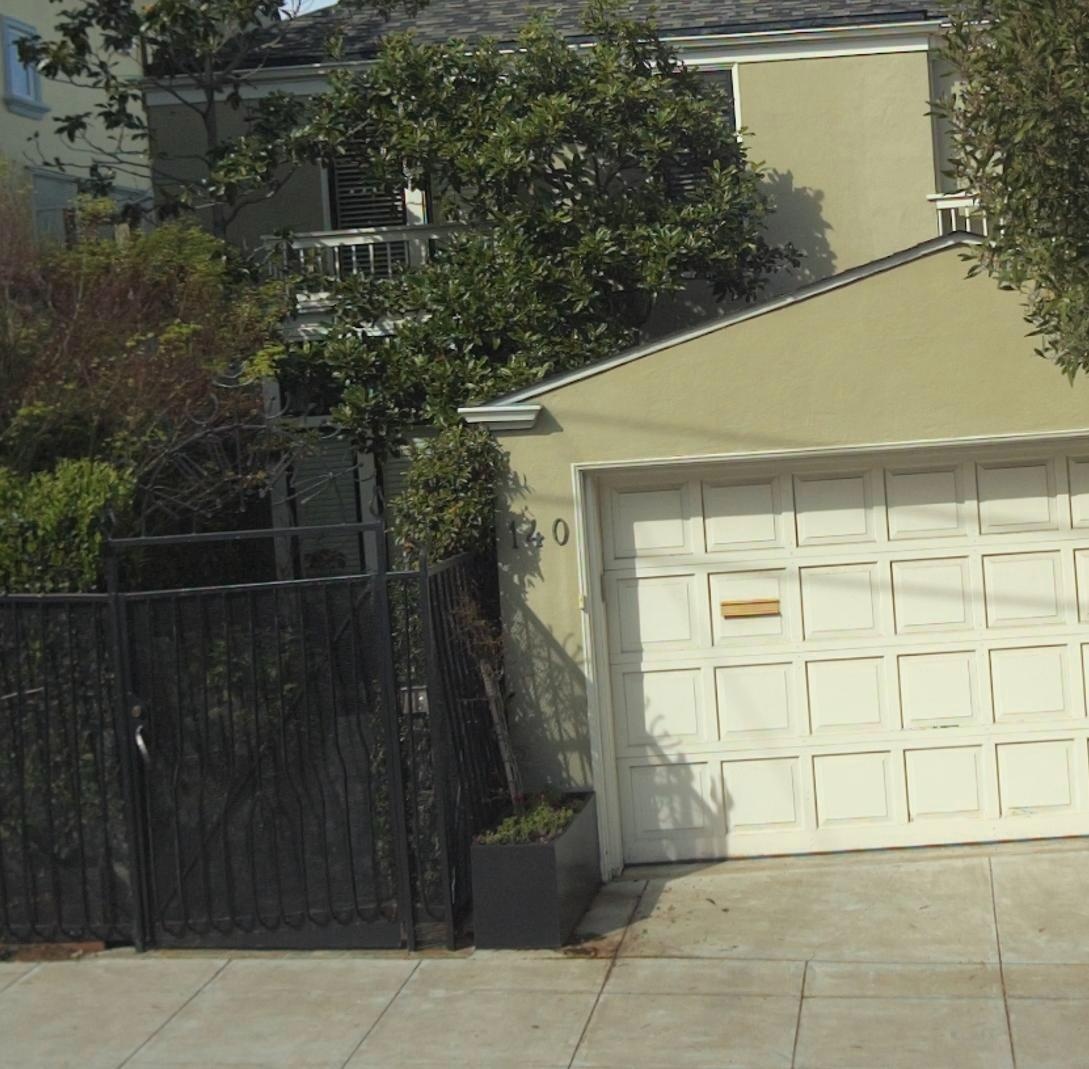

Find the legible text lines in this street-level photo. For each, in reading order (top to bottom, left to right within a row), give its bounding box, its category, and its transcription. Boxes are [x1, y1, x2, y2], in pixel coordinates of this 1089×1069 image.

[506, 516, 572, 551] StreetNumber: 140